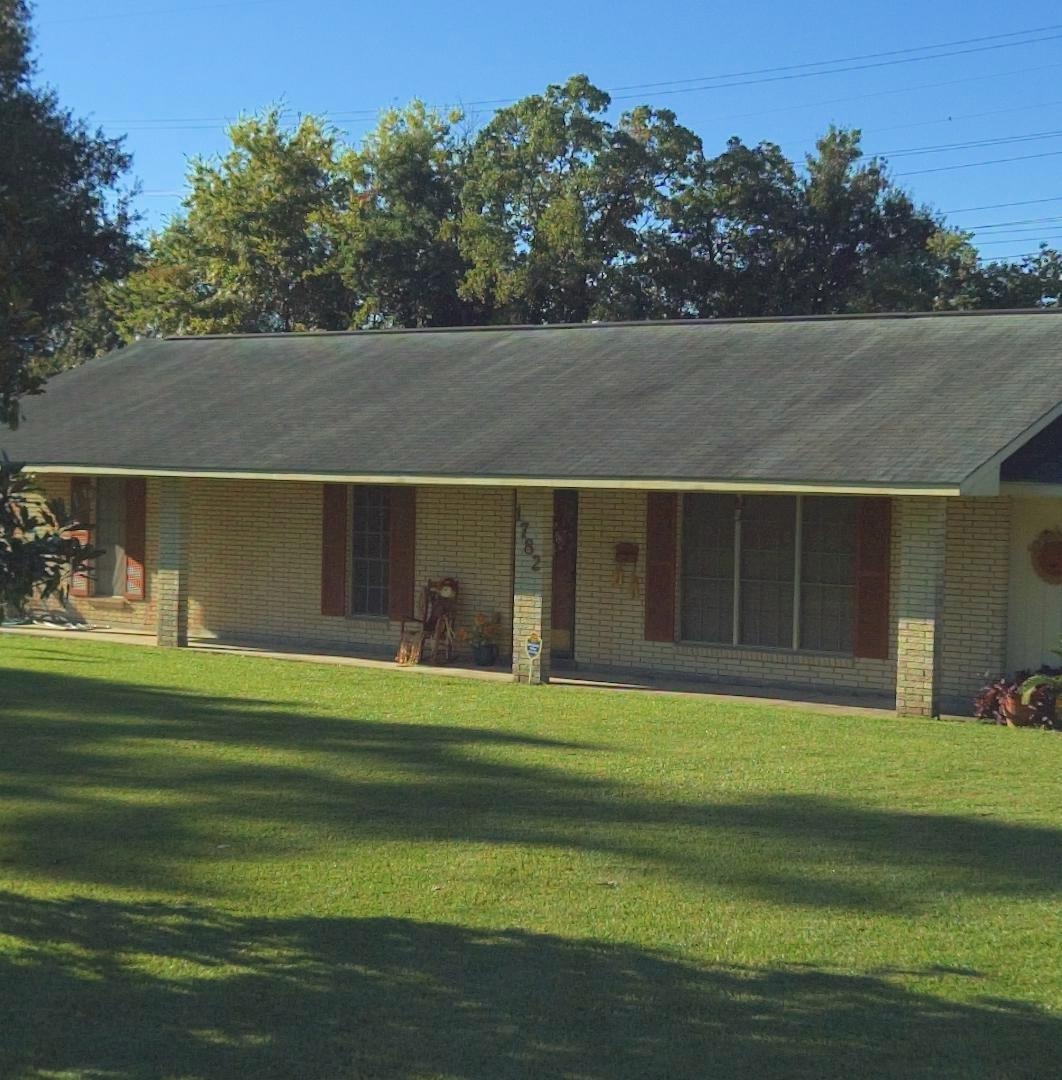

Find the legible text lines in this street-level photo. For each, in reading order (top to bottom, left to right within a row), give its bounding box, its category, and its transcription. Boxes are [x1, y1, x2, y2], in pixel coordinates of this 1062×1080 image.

[513, 502, 544, 573] StreetNumber: 1782